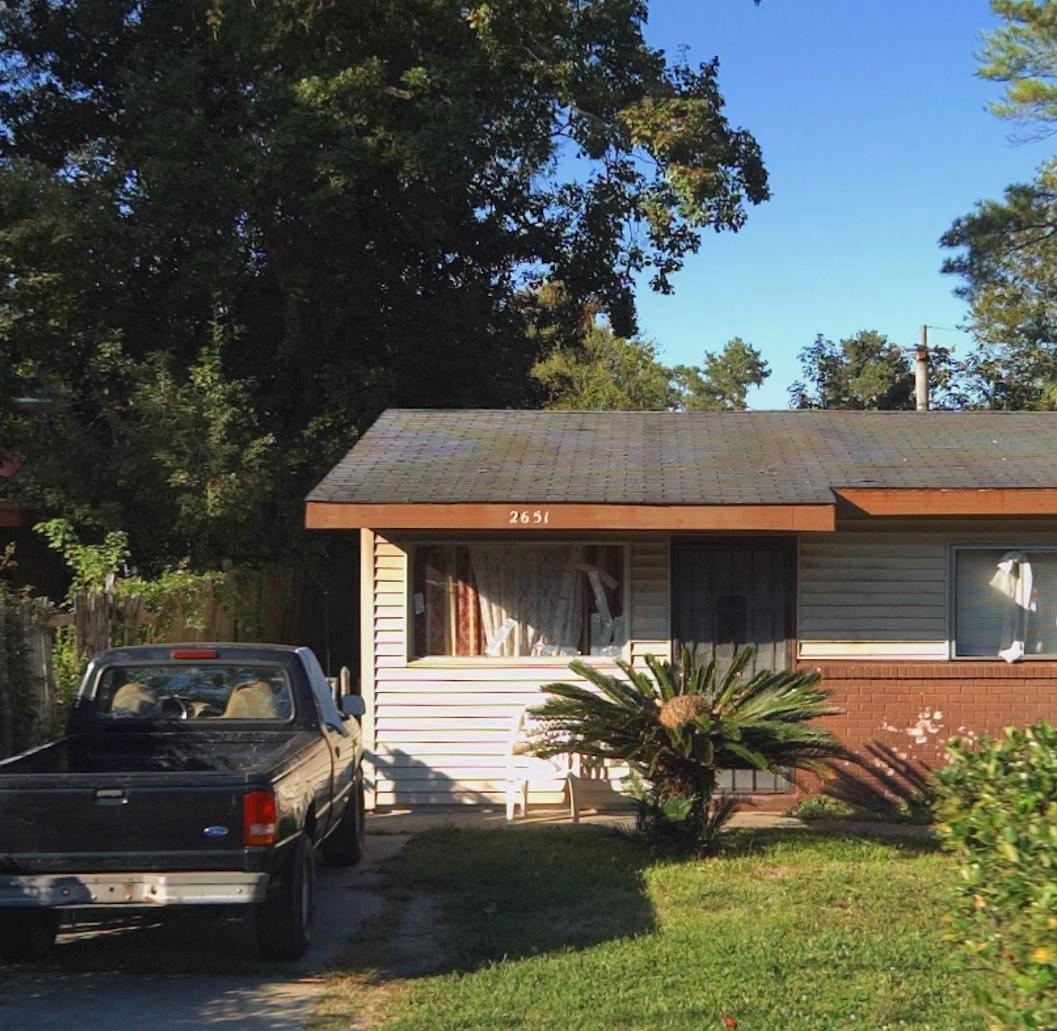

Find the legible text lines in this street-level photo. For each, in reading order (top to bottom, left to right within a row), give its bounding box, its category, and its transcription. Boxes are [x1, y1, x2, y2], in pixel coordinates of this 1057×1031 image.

[508, 509, 550, 525] StreetNumber: 2651